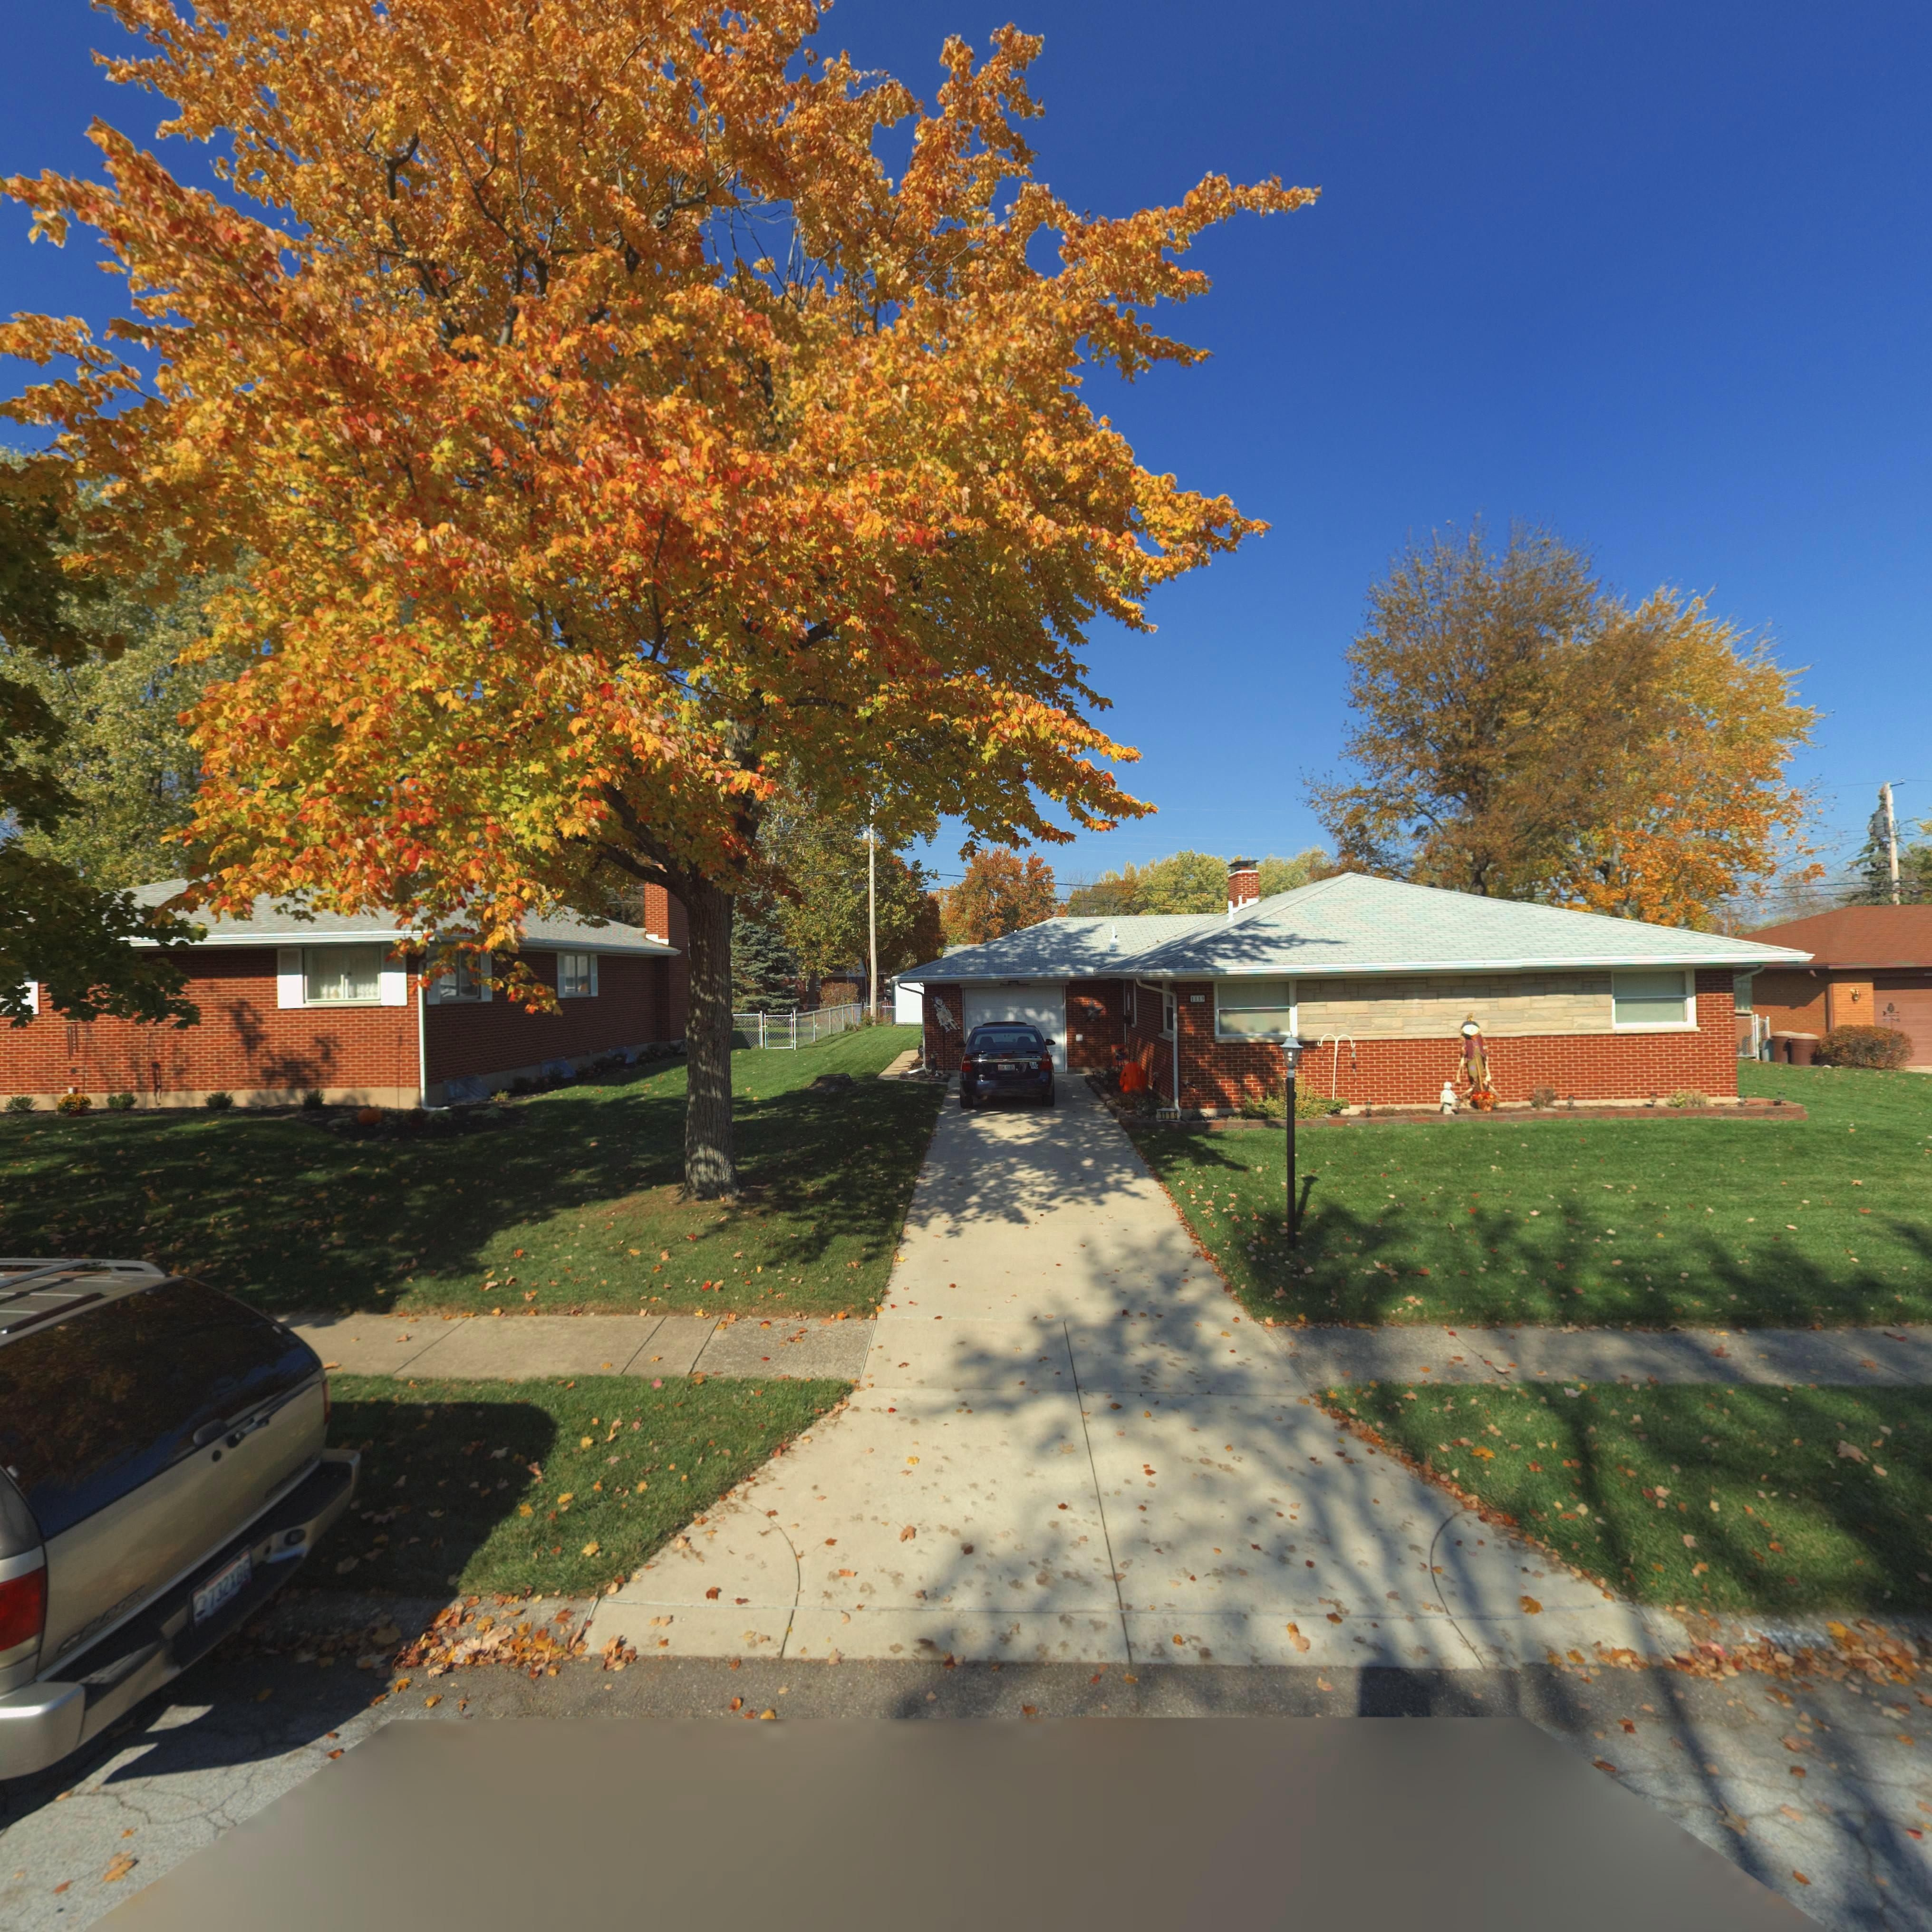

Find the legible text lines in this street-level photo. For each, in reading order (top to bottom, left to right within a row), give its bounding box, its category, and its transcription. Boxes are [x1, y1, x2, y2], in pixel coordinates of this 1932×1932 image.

[1190, 995, 1206, 1003] StreetNumber: 1119
[1005, 1064, 1015, 1071] None: SIES
[1158, 1111, 1178, 1121] StreetNumber: 1119